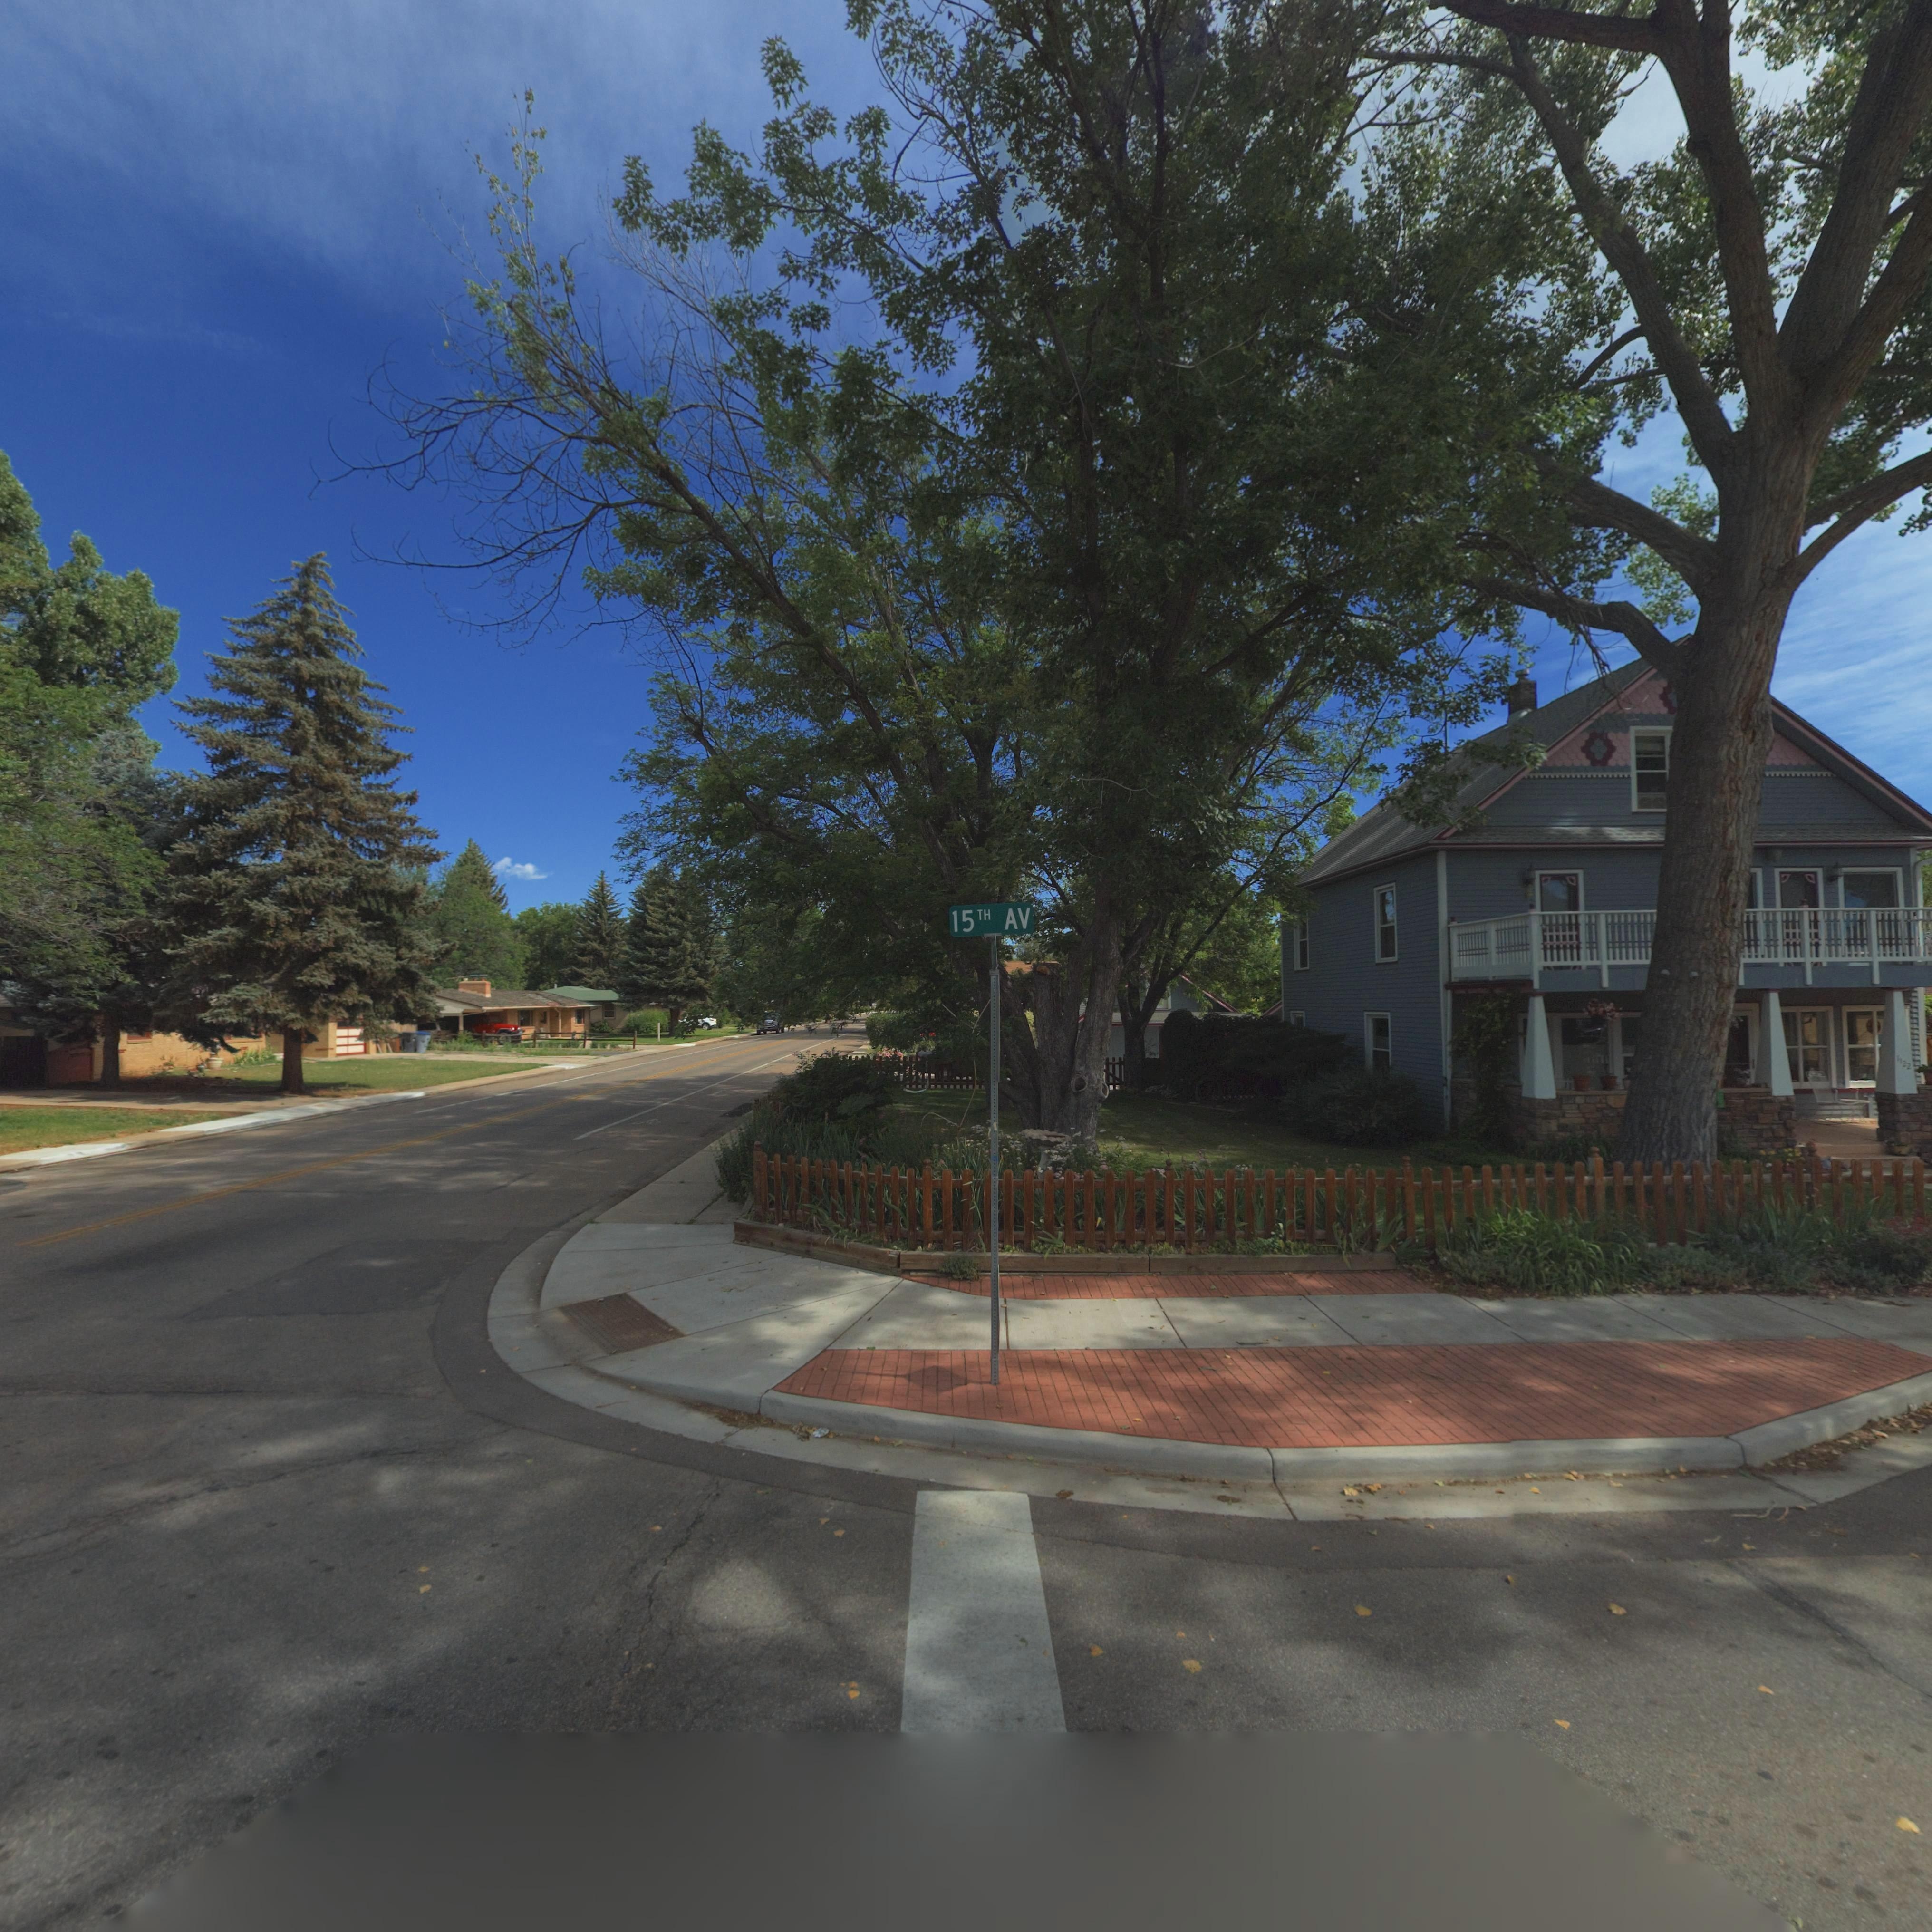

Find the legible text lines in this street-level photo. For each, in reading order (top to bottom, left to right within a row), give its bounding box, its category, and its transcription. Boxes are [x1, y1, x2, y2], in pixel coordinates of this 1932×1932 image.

[951, 907, 1031, 932] StreetName: 15TH AV
[1896, 1053, 1912, 1070] StreetNumber: 1122